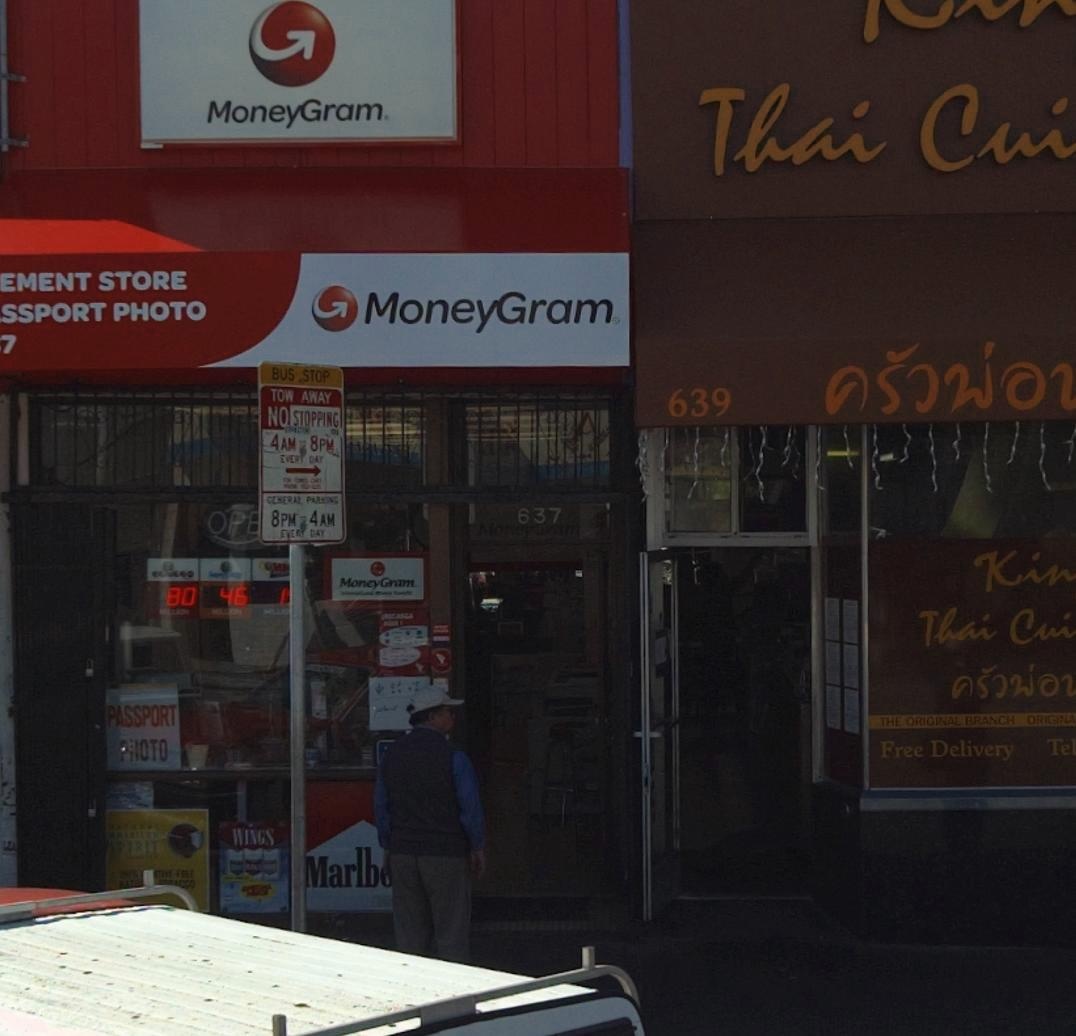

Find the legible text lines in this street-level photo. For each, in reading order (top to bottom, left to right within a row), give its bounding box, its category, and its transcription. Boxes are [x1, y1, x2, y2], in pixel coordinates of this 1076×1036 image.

[203, 94, 385, 129] BusinessName: MoneyGram
[697, 79, 1070, 176] BusinessName: Thai Cui
[0, 270, 189, 292] None: EMENT STORE
[1, 300, 208, 325] None: SSPORT PHOTO
[365, 283, 617, 331] BusinessName: MoneyGram
[0, 333, 17, 355] None: 7
[270, 364, 328, 382] None: BUS STOP
[269, 385, 333, 405] None: TOW AWAY
[665, 386, 730, 418] StreetNumber: 639
[267, 403, 339, 427] None: NO STOPPING
[268, 429, 337, 452] None: 4AM*8PM
[278, 452, 322, 464] None: EVERY DAY
[264, 493, 341, 506] None: GENERAL PARKING
[204, 508, 260, 533] None: OPE
[270, 507, 336, 528] None: 8PM-4AM
[517, 506, 563, 525] StreetNumber: 637
[278, 527, 325, 538] None: EVERY DAY
[339, 575, 414, 589] BusinessName: MoneyGram
[971, 550, 1075, 594] BusinessName: Kin
[165, 585, 196, 606] None: 80
[215, 584, 249, 608] None: 46
[916, 604, 1074, 650] BusinessName: Thai Cui
[105, 701, 178, 730] None: PASSPORT
[879, 713, 1075, 728] None: THE ORIGINAL BRANCH ORIGINA
[118, 736, 169, 763] None: PHOTO
[879, 738, 1013, 760] None: Free Delivery
[1045, 736, 1076, 757] None: Tel
[107, 838, 158, 855] BusinessName: SPIRIT
[230, 825, 274, 847] BusinessName: WINGS
[303, 846, 381, 888] BusinessName: Marlb